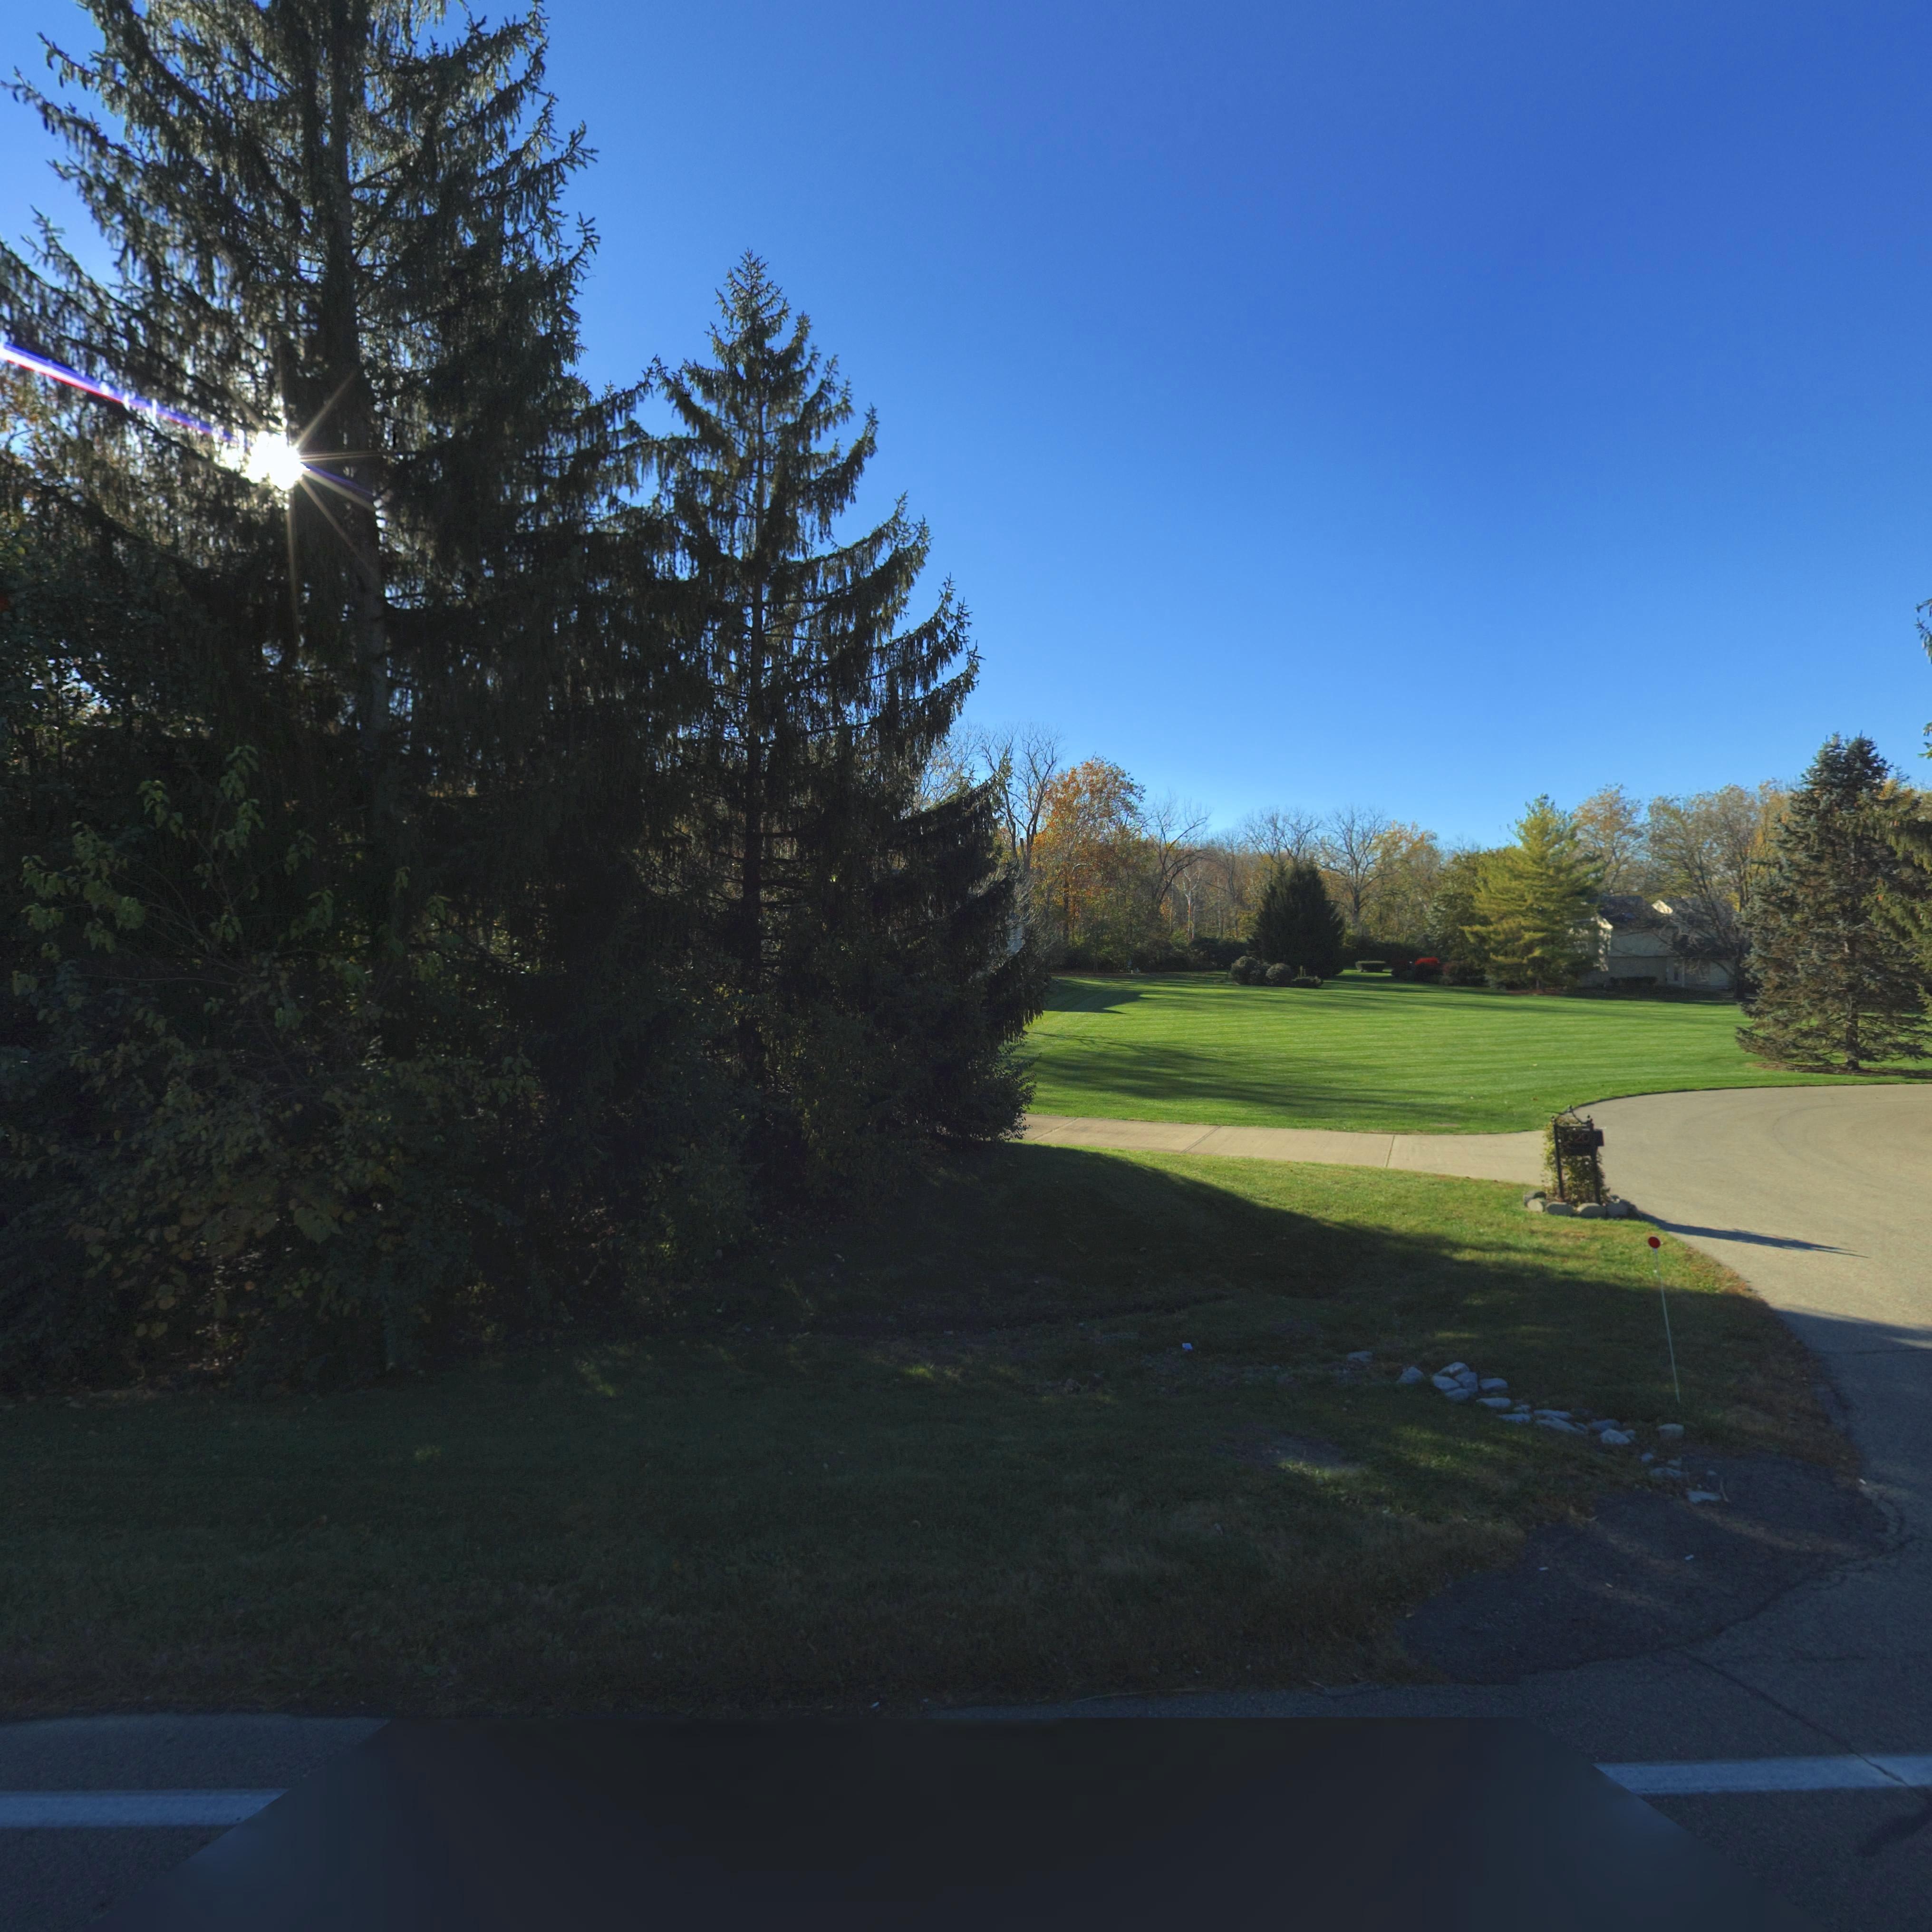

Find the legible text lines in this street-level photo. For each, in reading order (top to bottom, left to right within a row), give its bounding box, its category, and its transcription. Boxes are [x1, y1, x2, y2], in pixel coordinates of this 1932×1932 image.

[1572, 1131, 1591, 1145] StreetNumber: 20